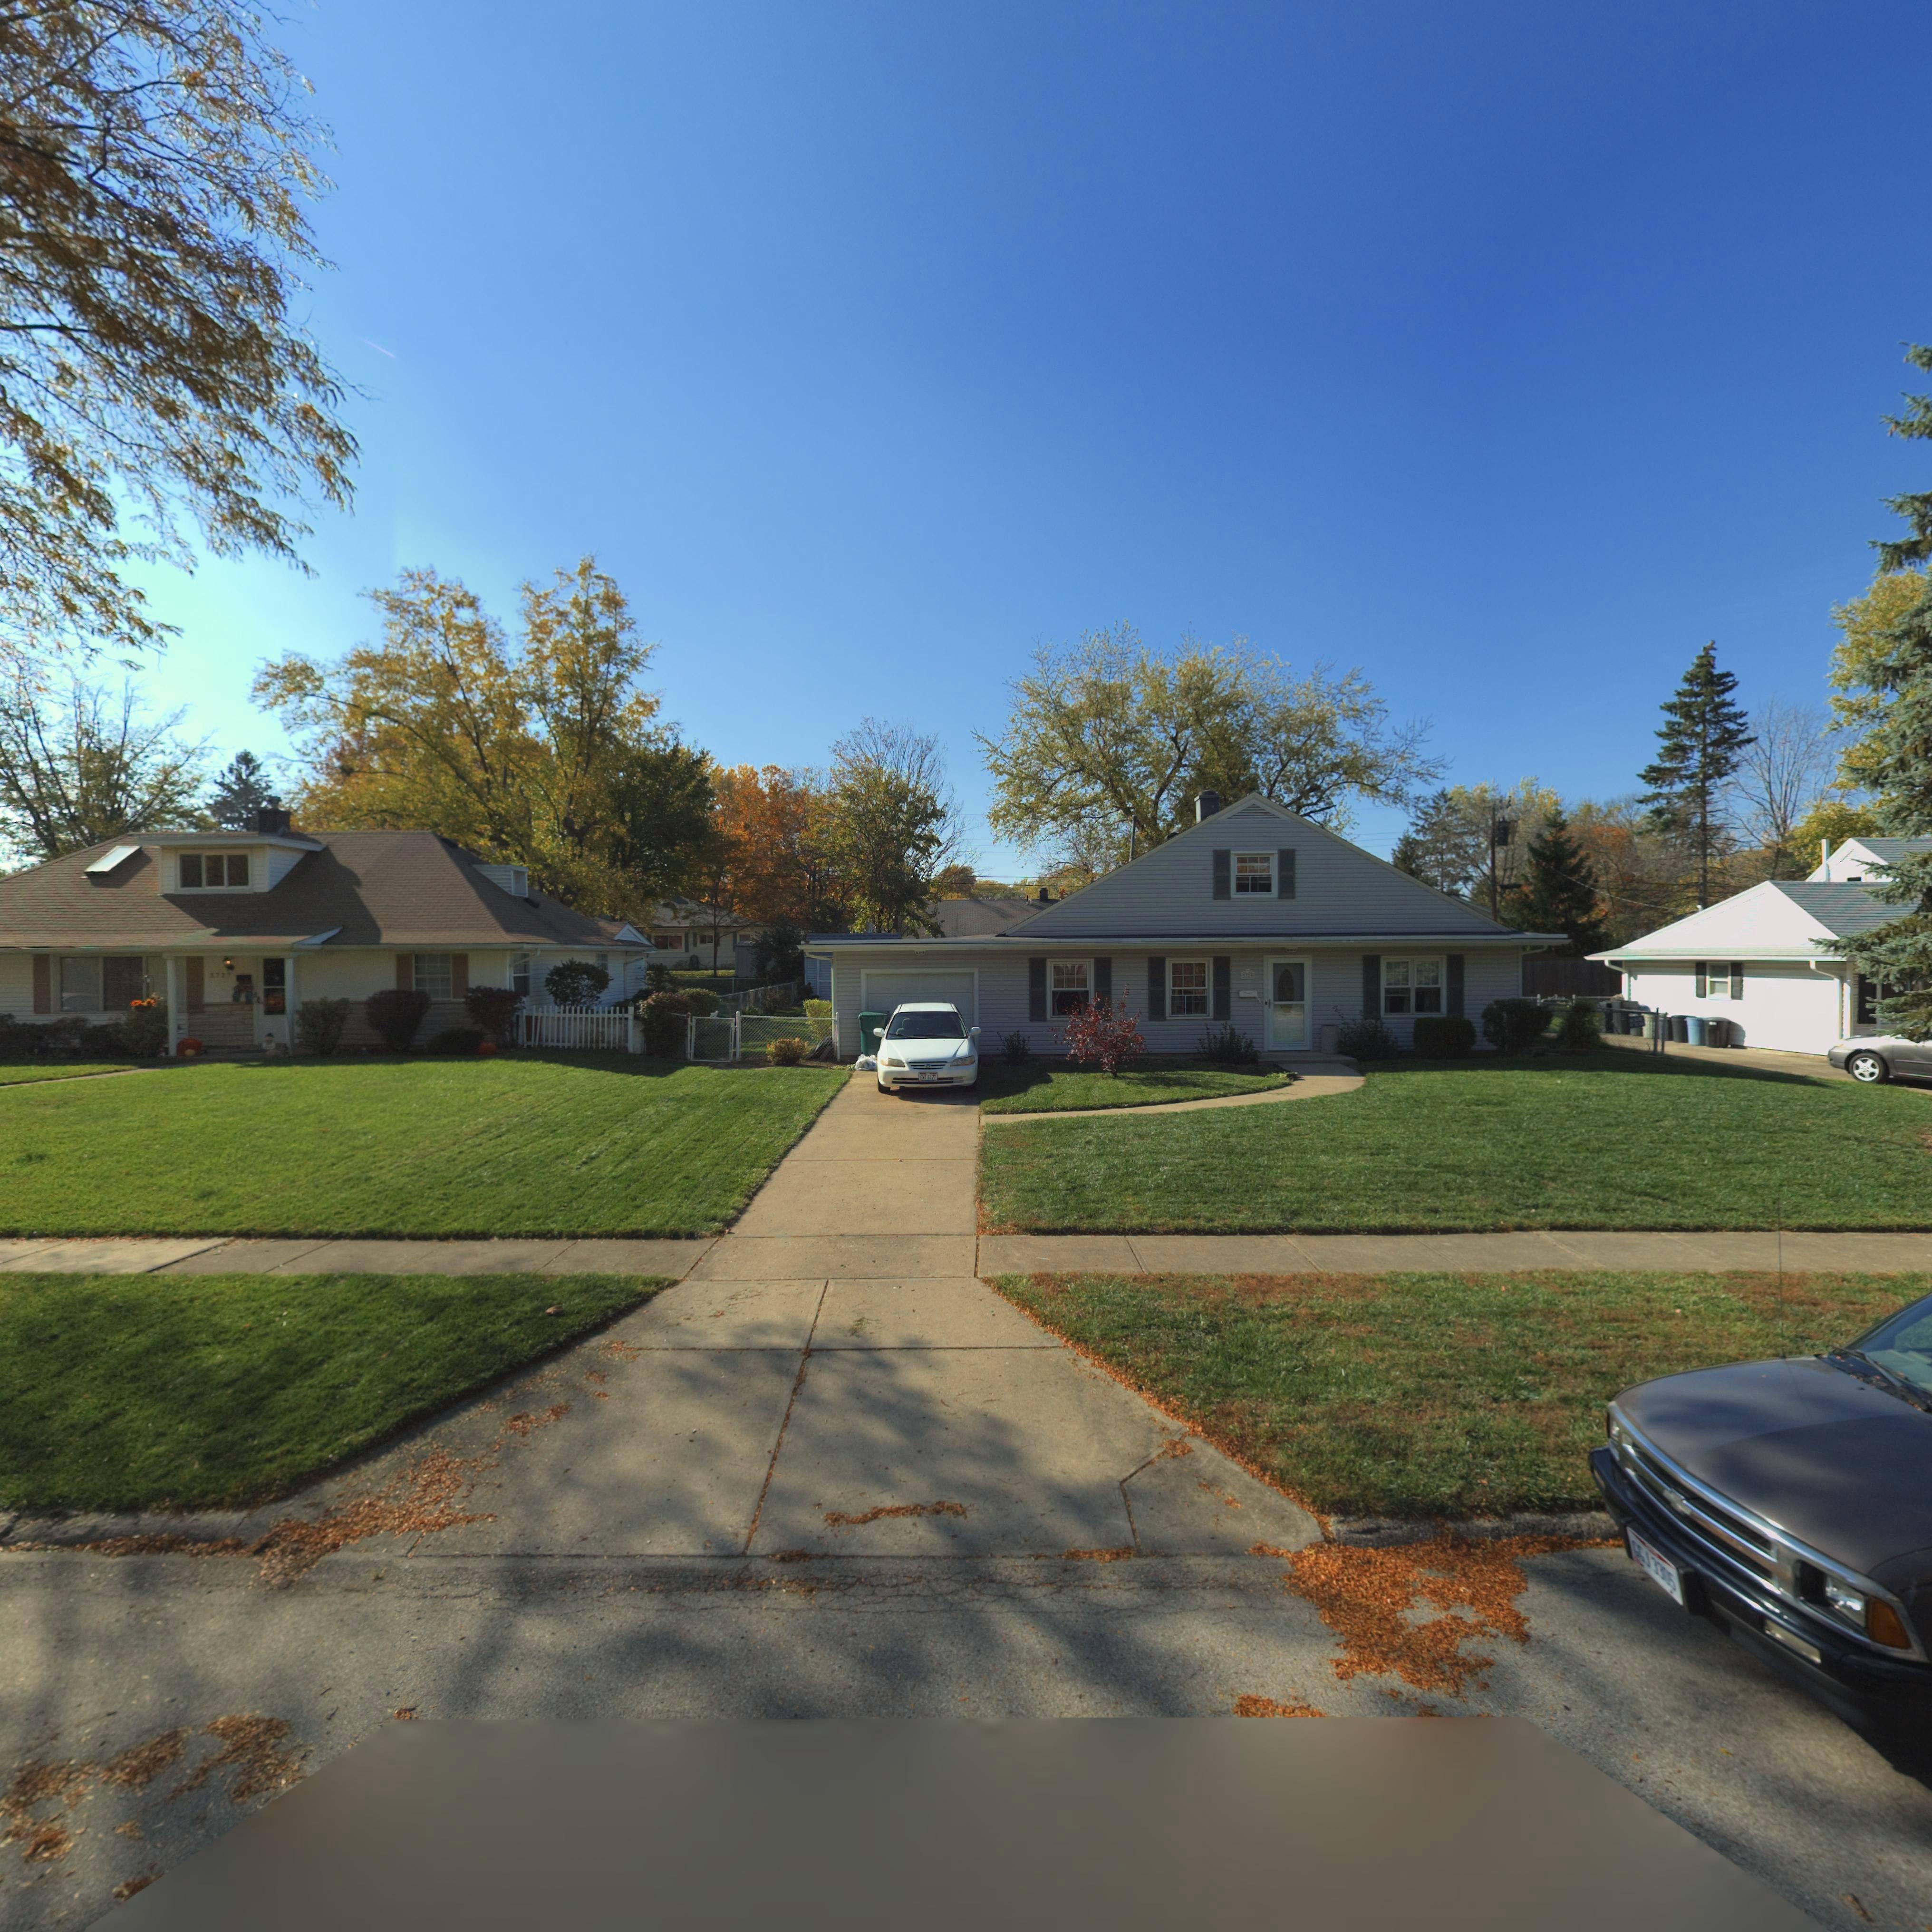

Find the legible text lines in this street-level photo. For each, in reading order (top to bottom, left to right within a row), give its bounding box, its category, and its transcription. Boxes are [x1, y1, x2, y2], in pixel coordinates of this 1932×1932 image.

[209, 972, 232, 979] StreetNumber: 3727
[1243, 974, 1253, 978] StreetNumber: **29
[920, 1074, 936, 1080] None: EWT*6177
[1632, 1539, 1677, 1593] None: GGJ*3305